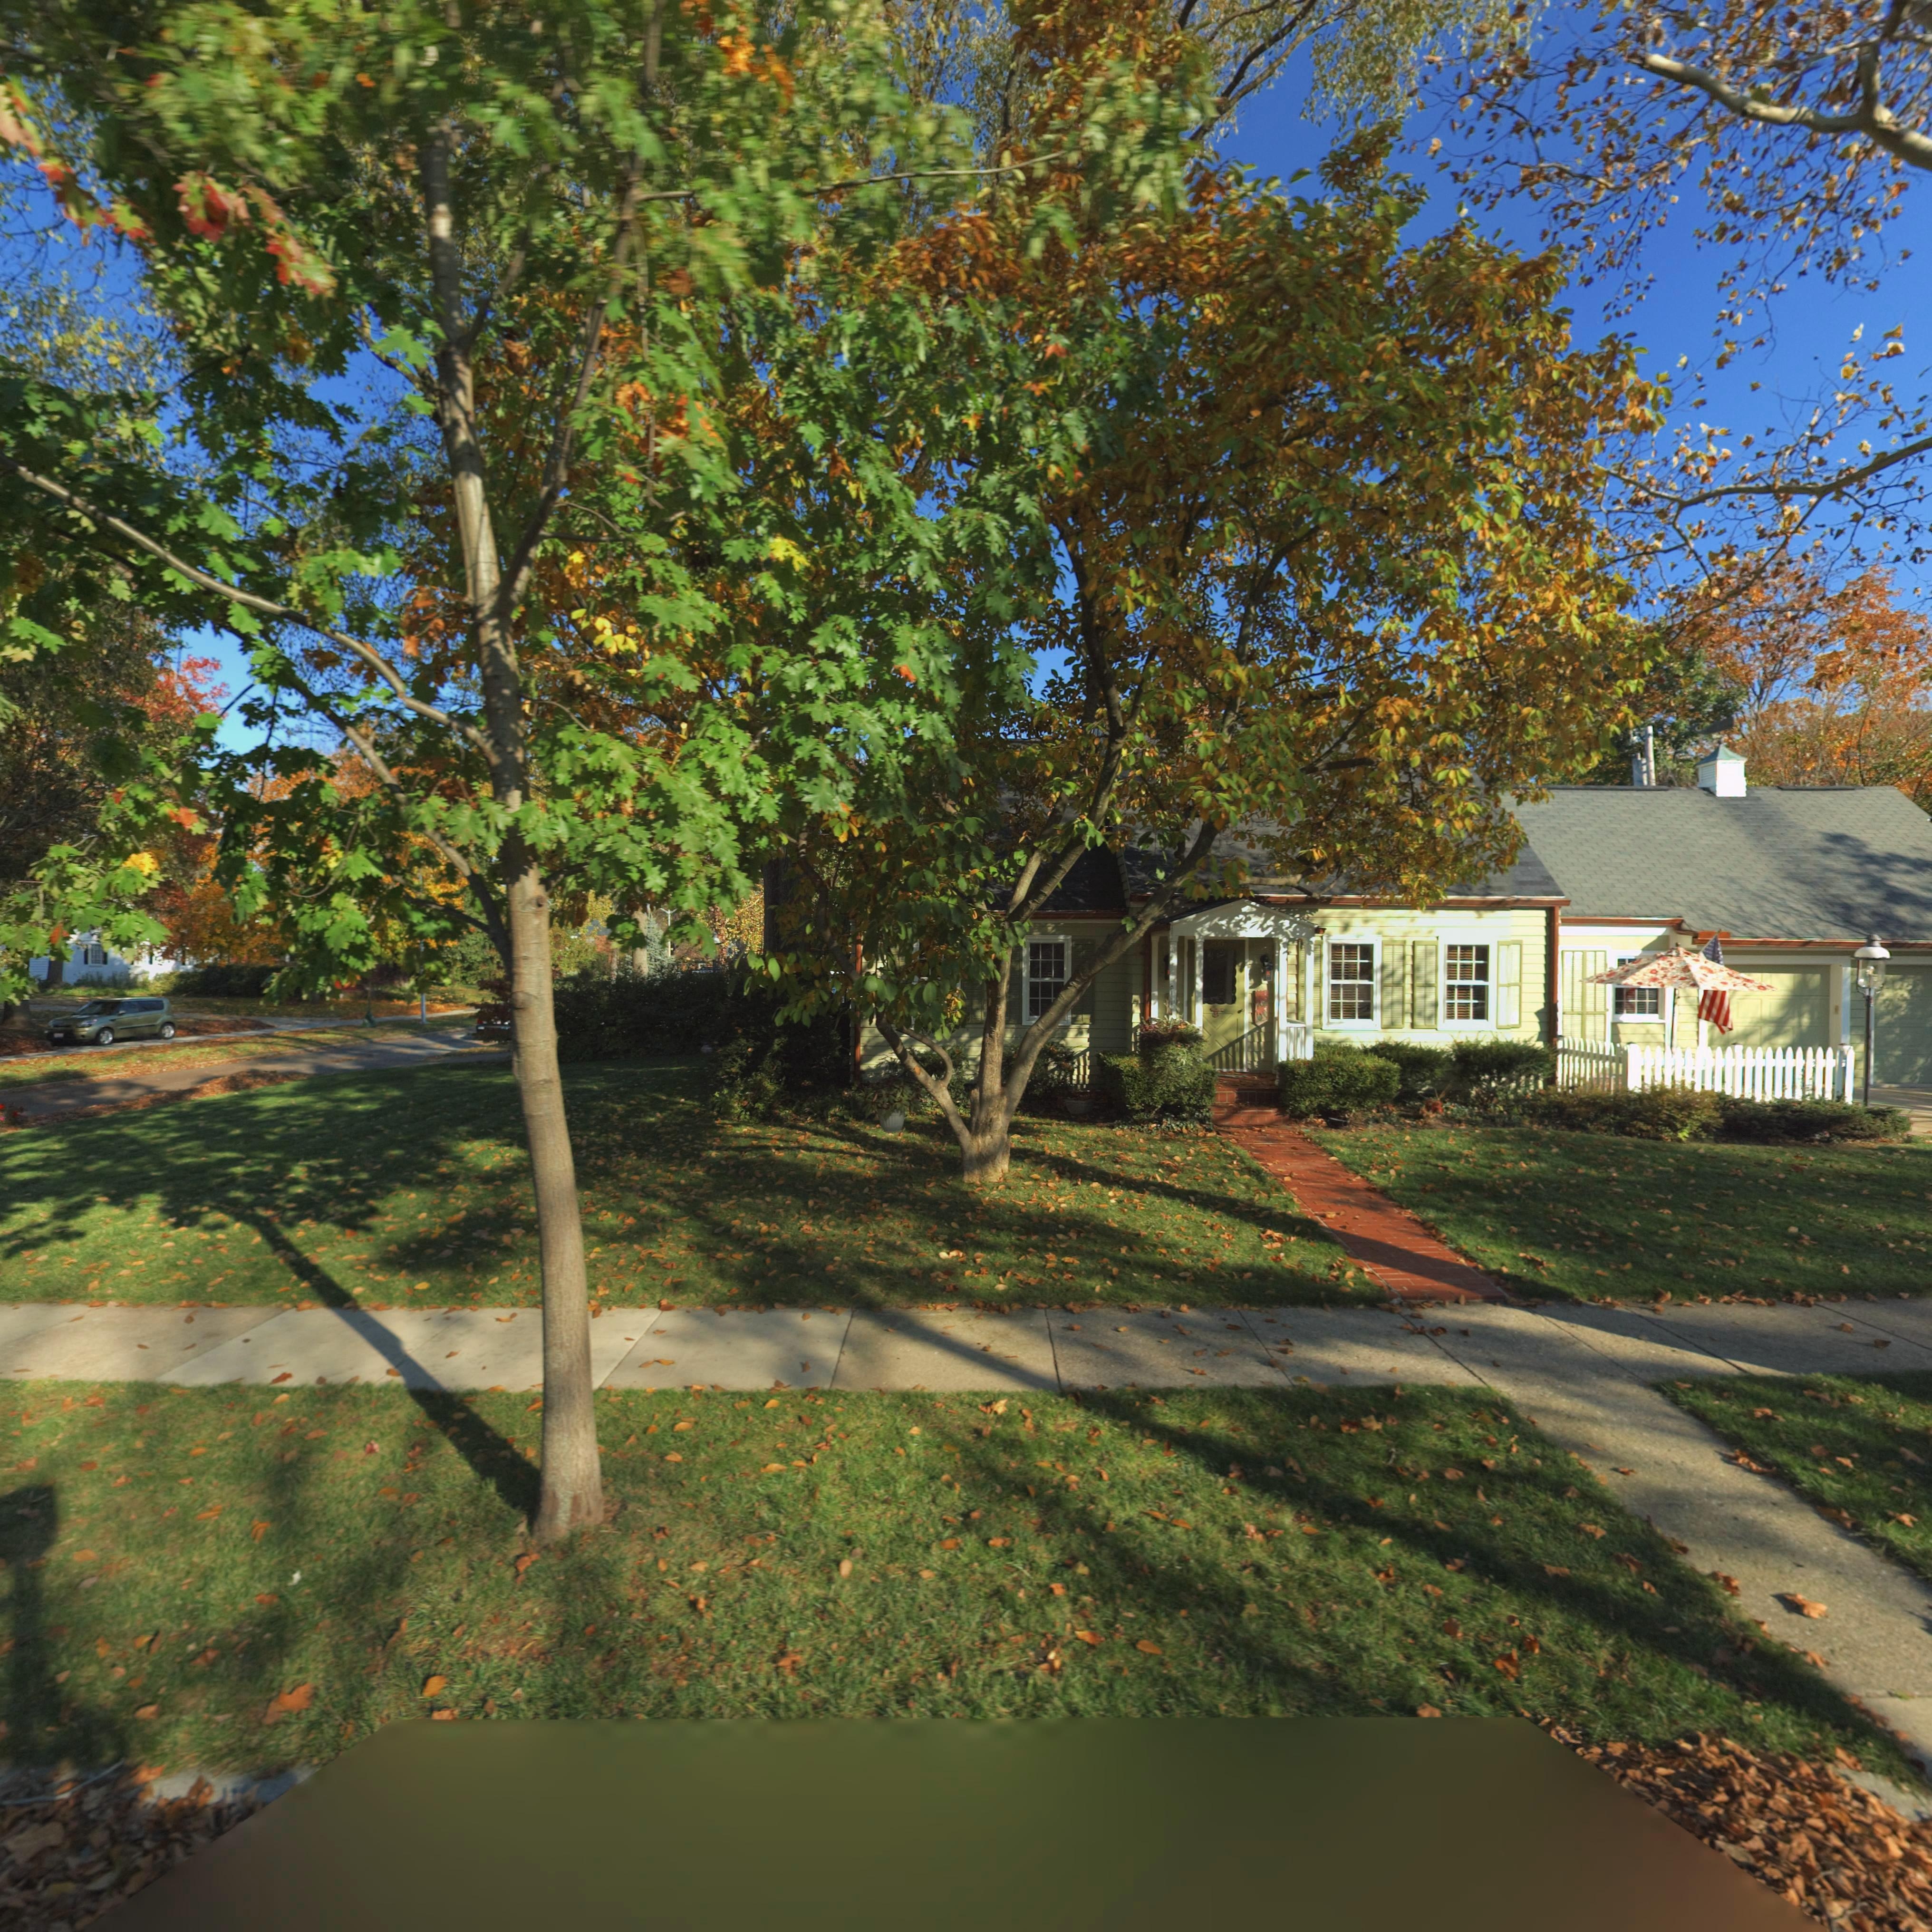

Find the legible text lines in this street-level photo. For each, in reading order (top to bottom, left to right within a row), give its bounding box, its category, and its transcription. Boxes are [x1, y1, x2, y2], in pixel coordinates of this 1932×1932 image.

[1210, 939, 1225, 948] StreetNumber: *00